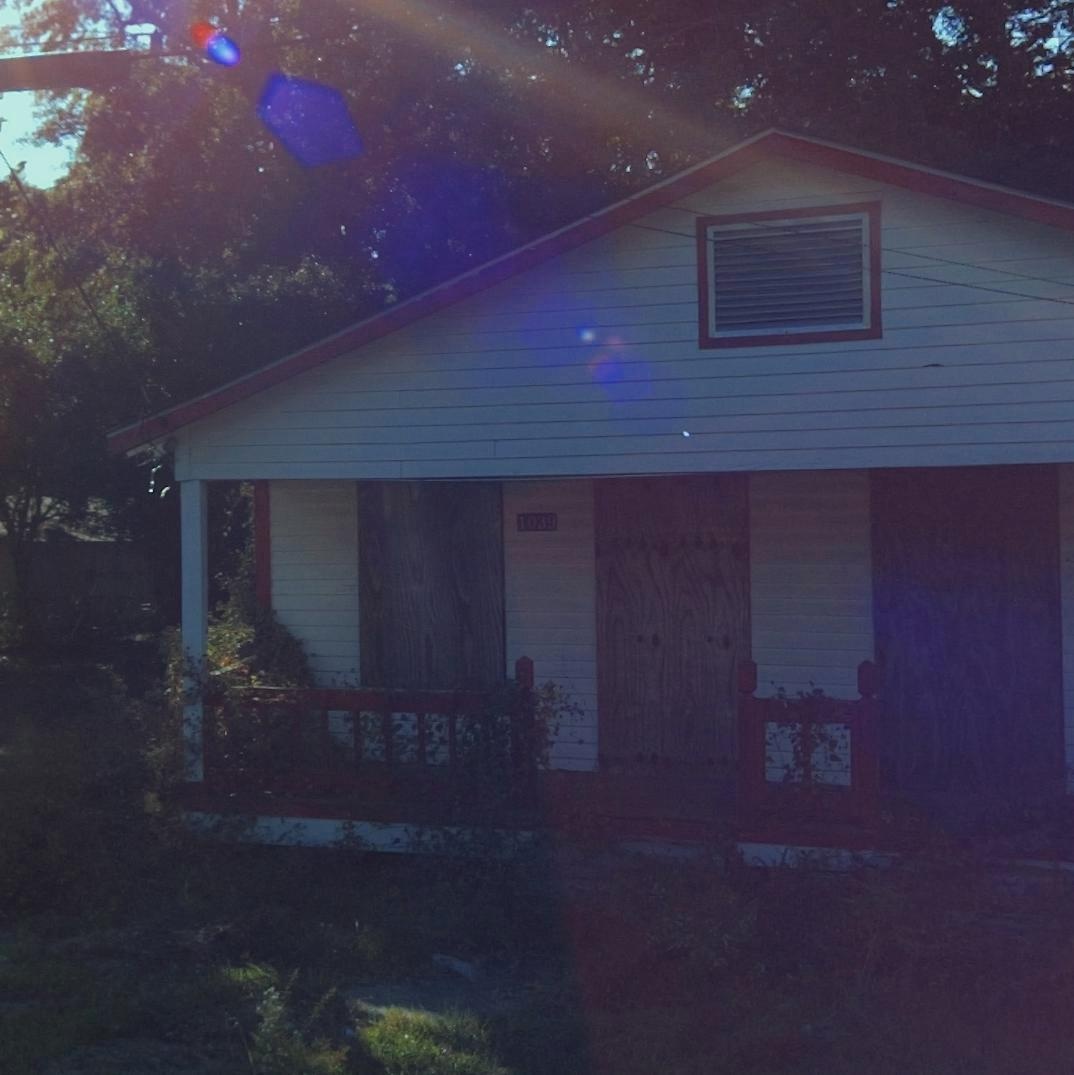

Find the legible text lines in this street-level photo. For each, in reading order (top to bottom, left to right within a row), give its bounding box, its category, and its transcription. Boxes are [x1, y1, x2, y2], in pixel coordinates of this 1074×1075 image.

[517, 513, 558, 531] StreetNumber: 1039